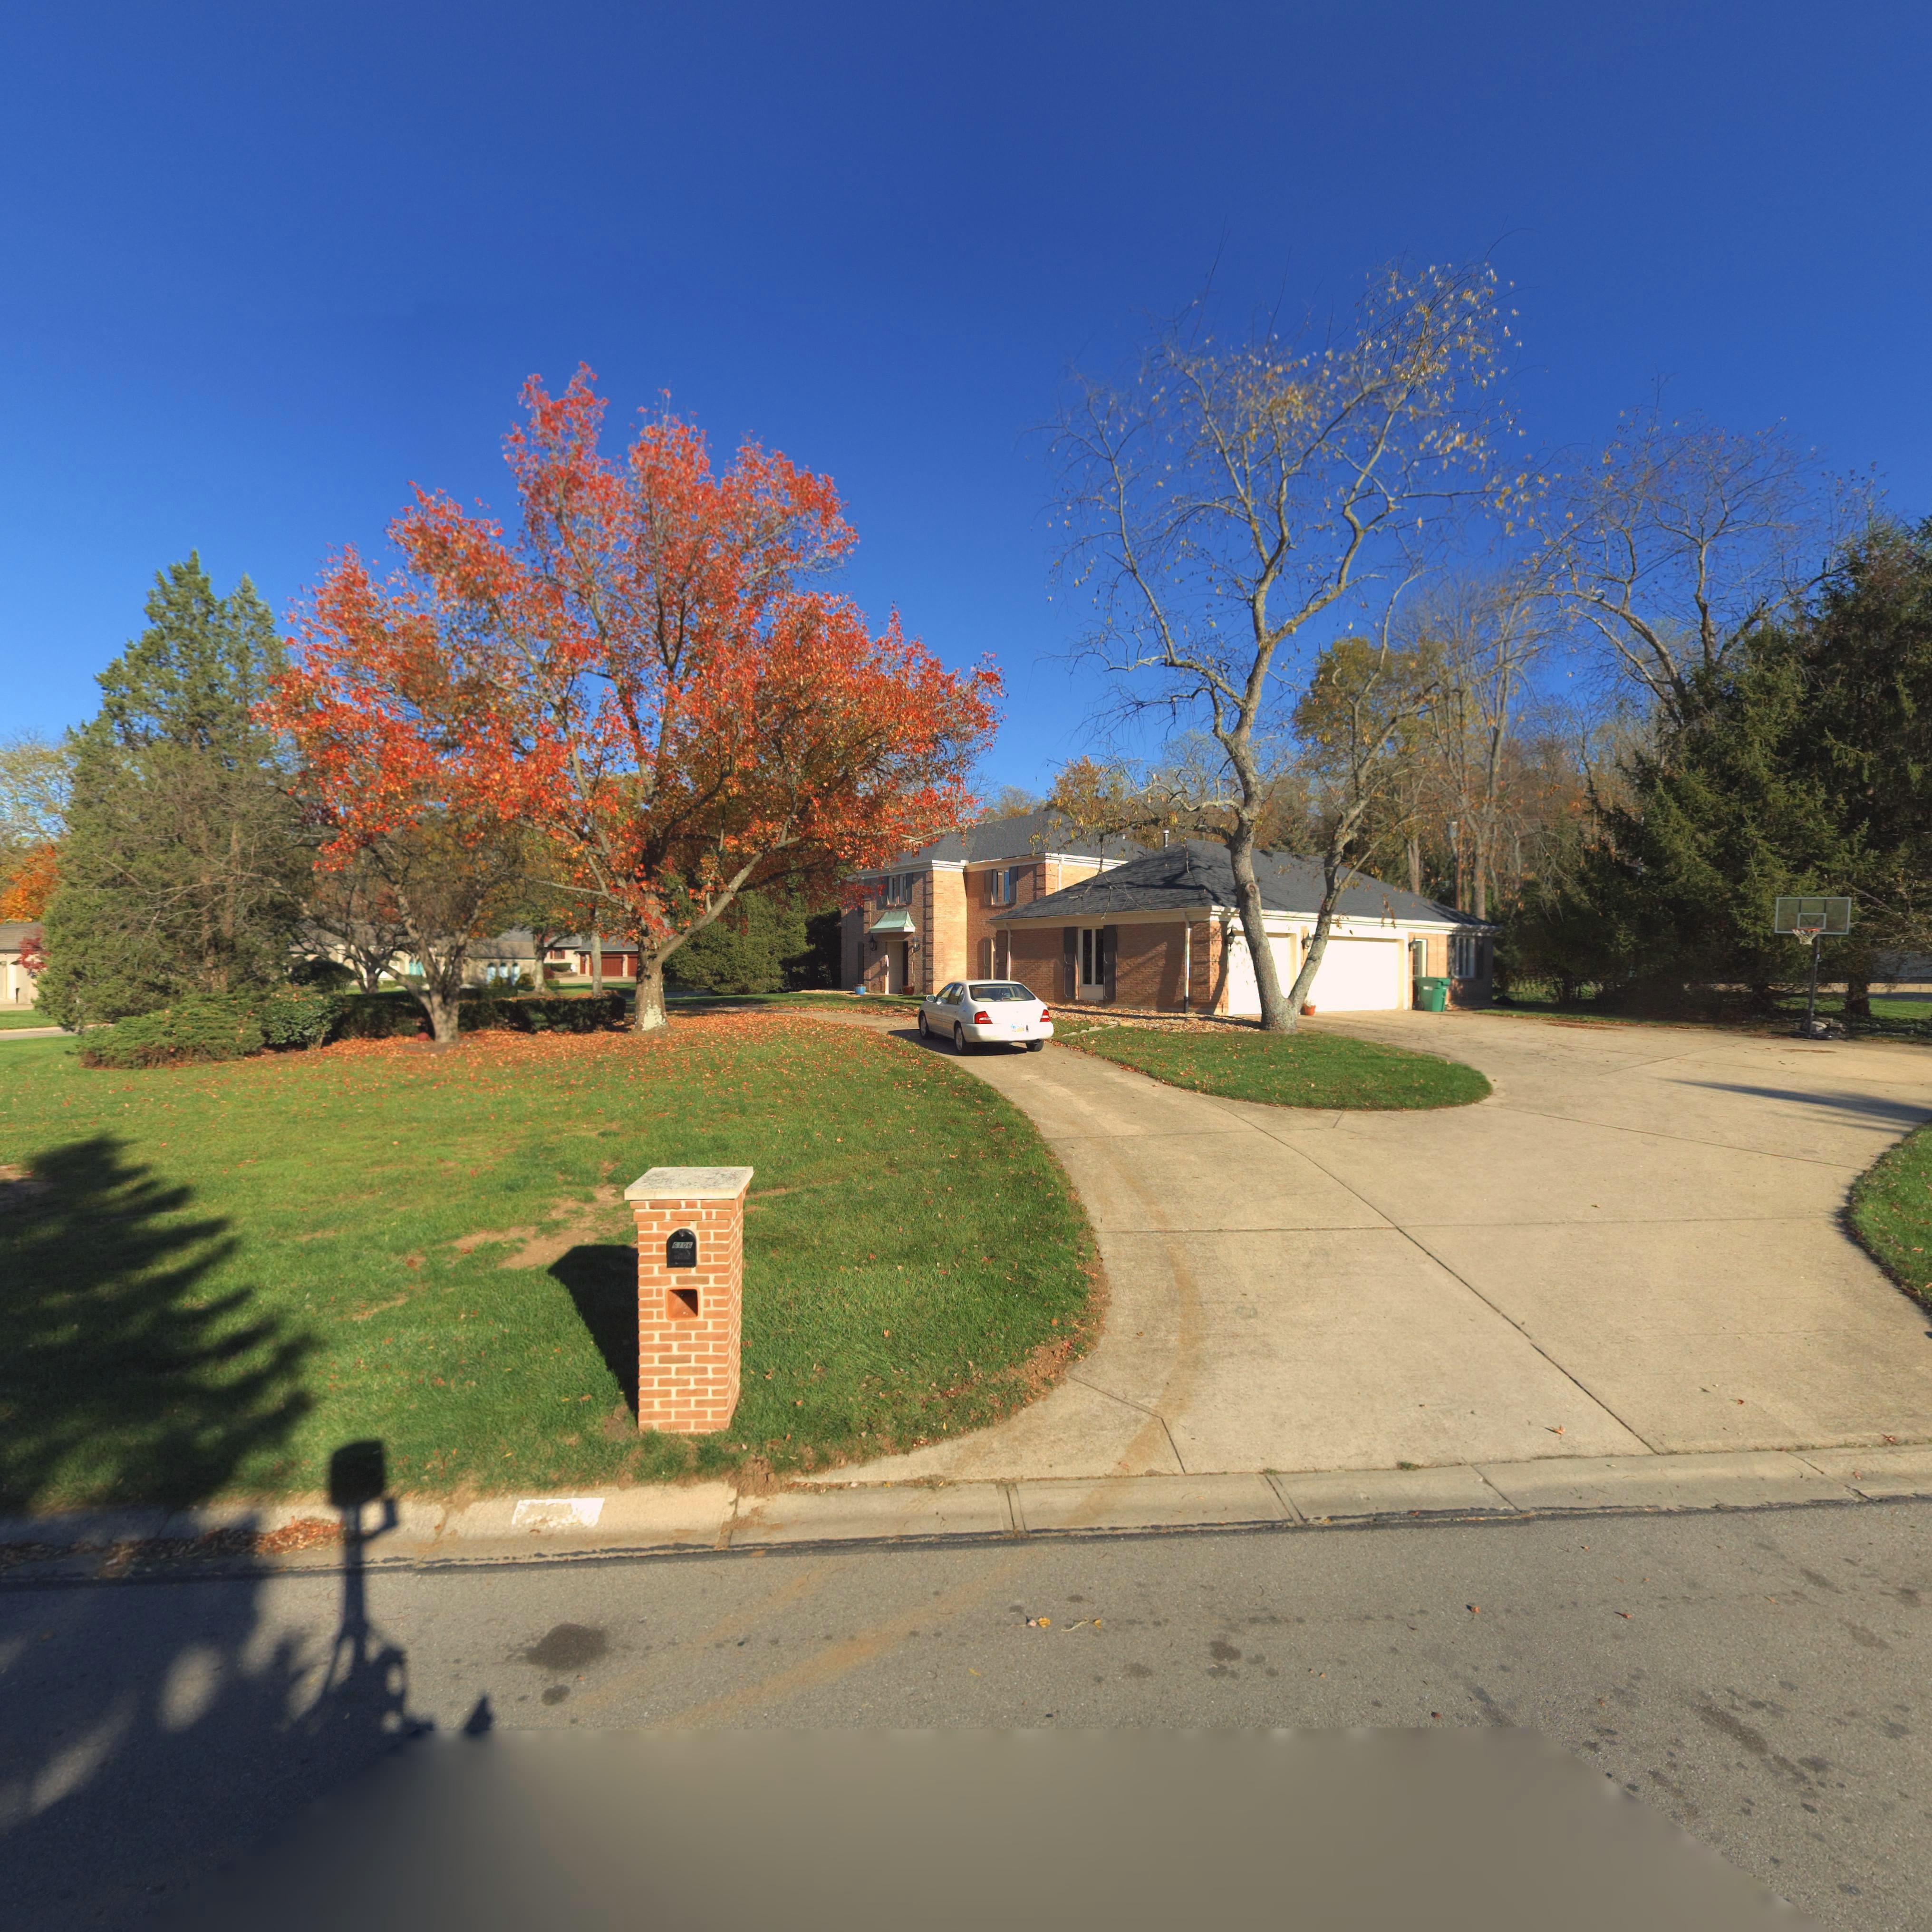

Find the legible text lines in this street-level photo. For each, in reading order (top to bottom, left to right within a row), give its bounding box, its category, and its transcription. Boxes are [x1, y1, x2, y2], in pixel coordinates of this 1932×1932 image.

[672, 1241, 692, 1248] StreetNumber: 6106